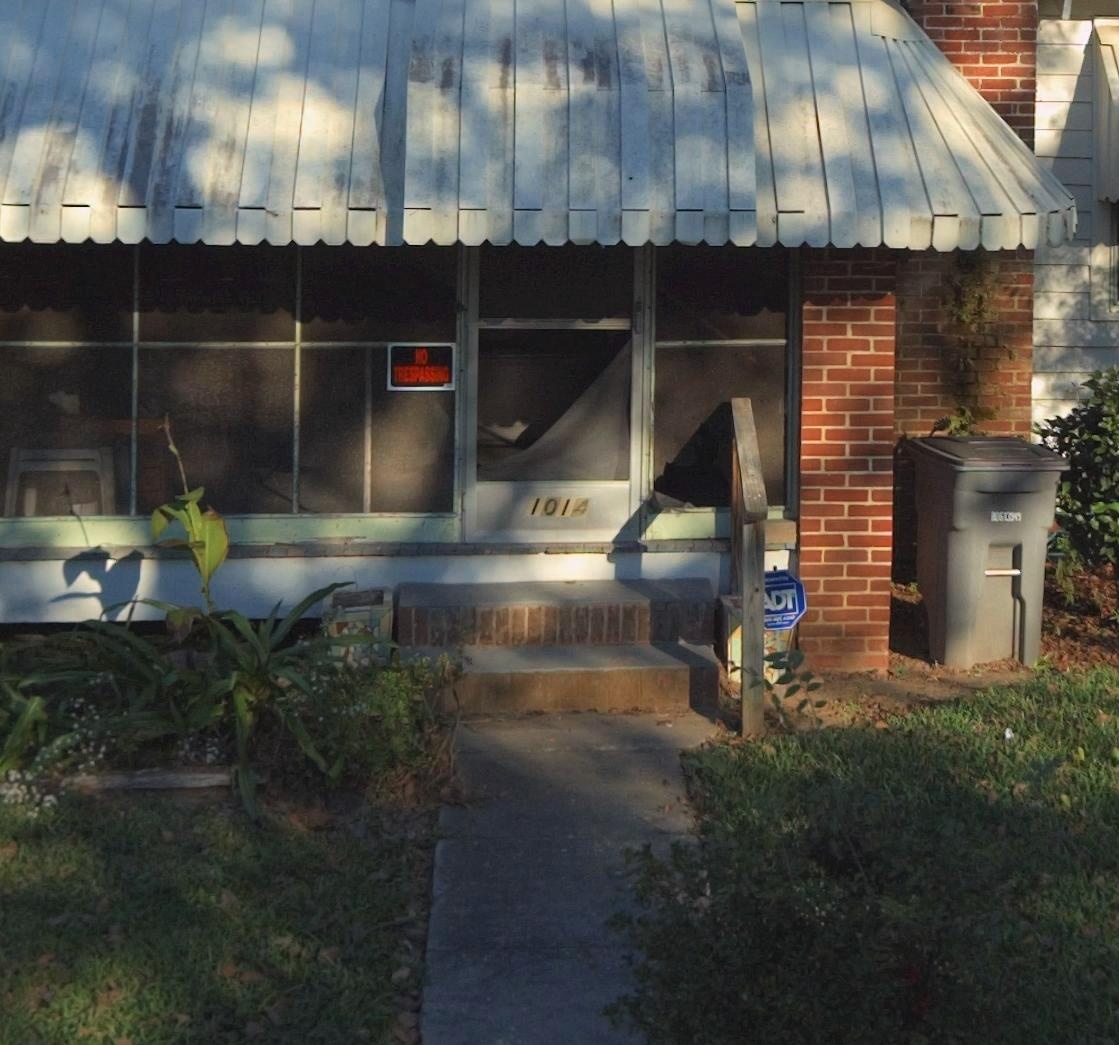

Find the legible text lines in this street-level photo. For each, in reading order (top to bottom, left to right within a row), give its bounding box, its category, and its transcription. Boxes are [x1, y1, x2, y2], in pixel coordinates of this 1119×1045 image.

[412, 347, 431, 366] None: NO
[390, 363, 452, 385] None: TRESPASSING
[525, 495, 593, 519] StreetNumber: 1014
[768, 586, 797, 613] None: DT